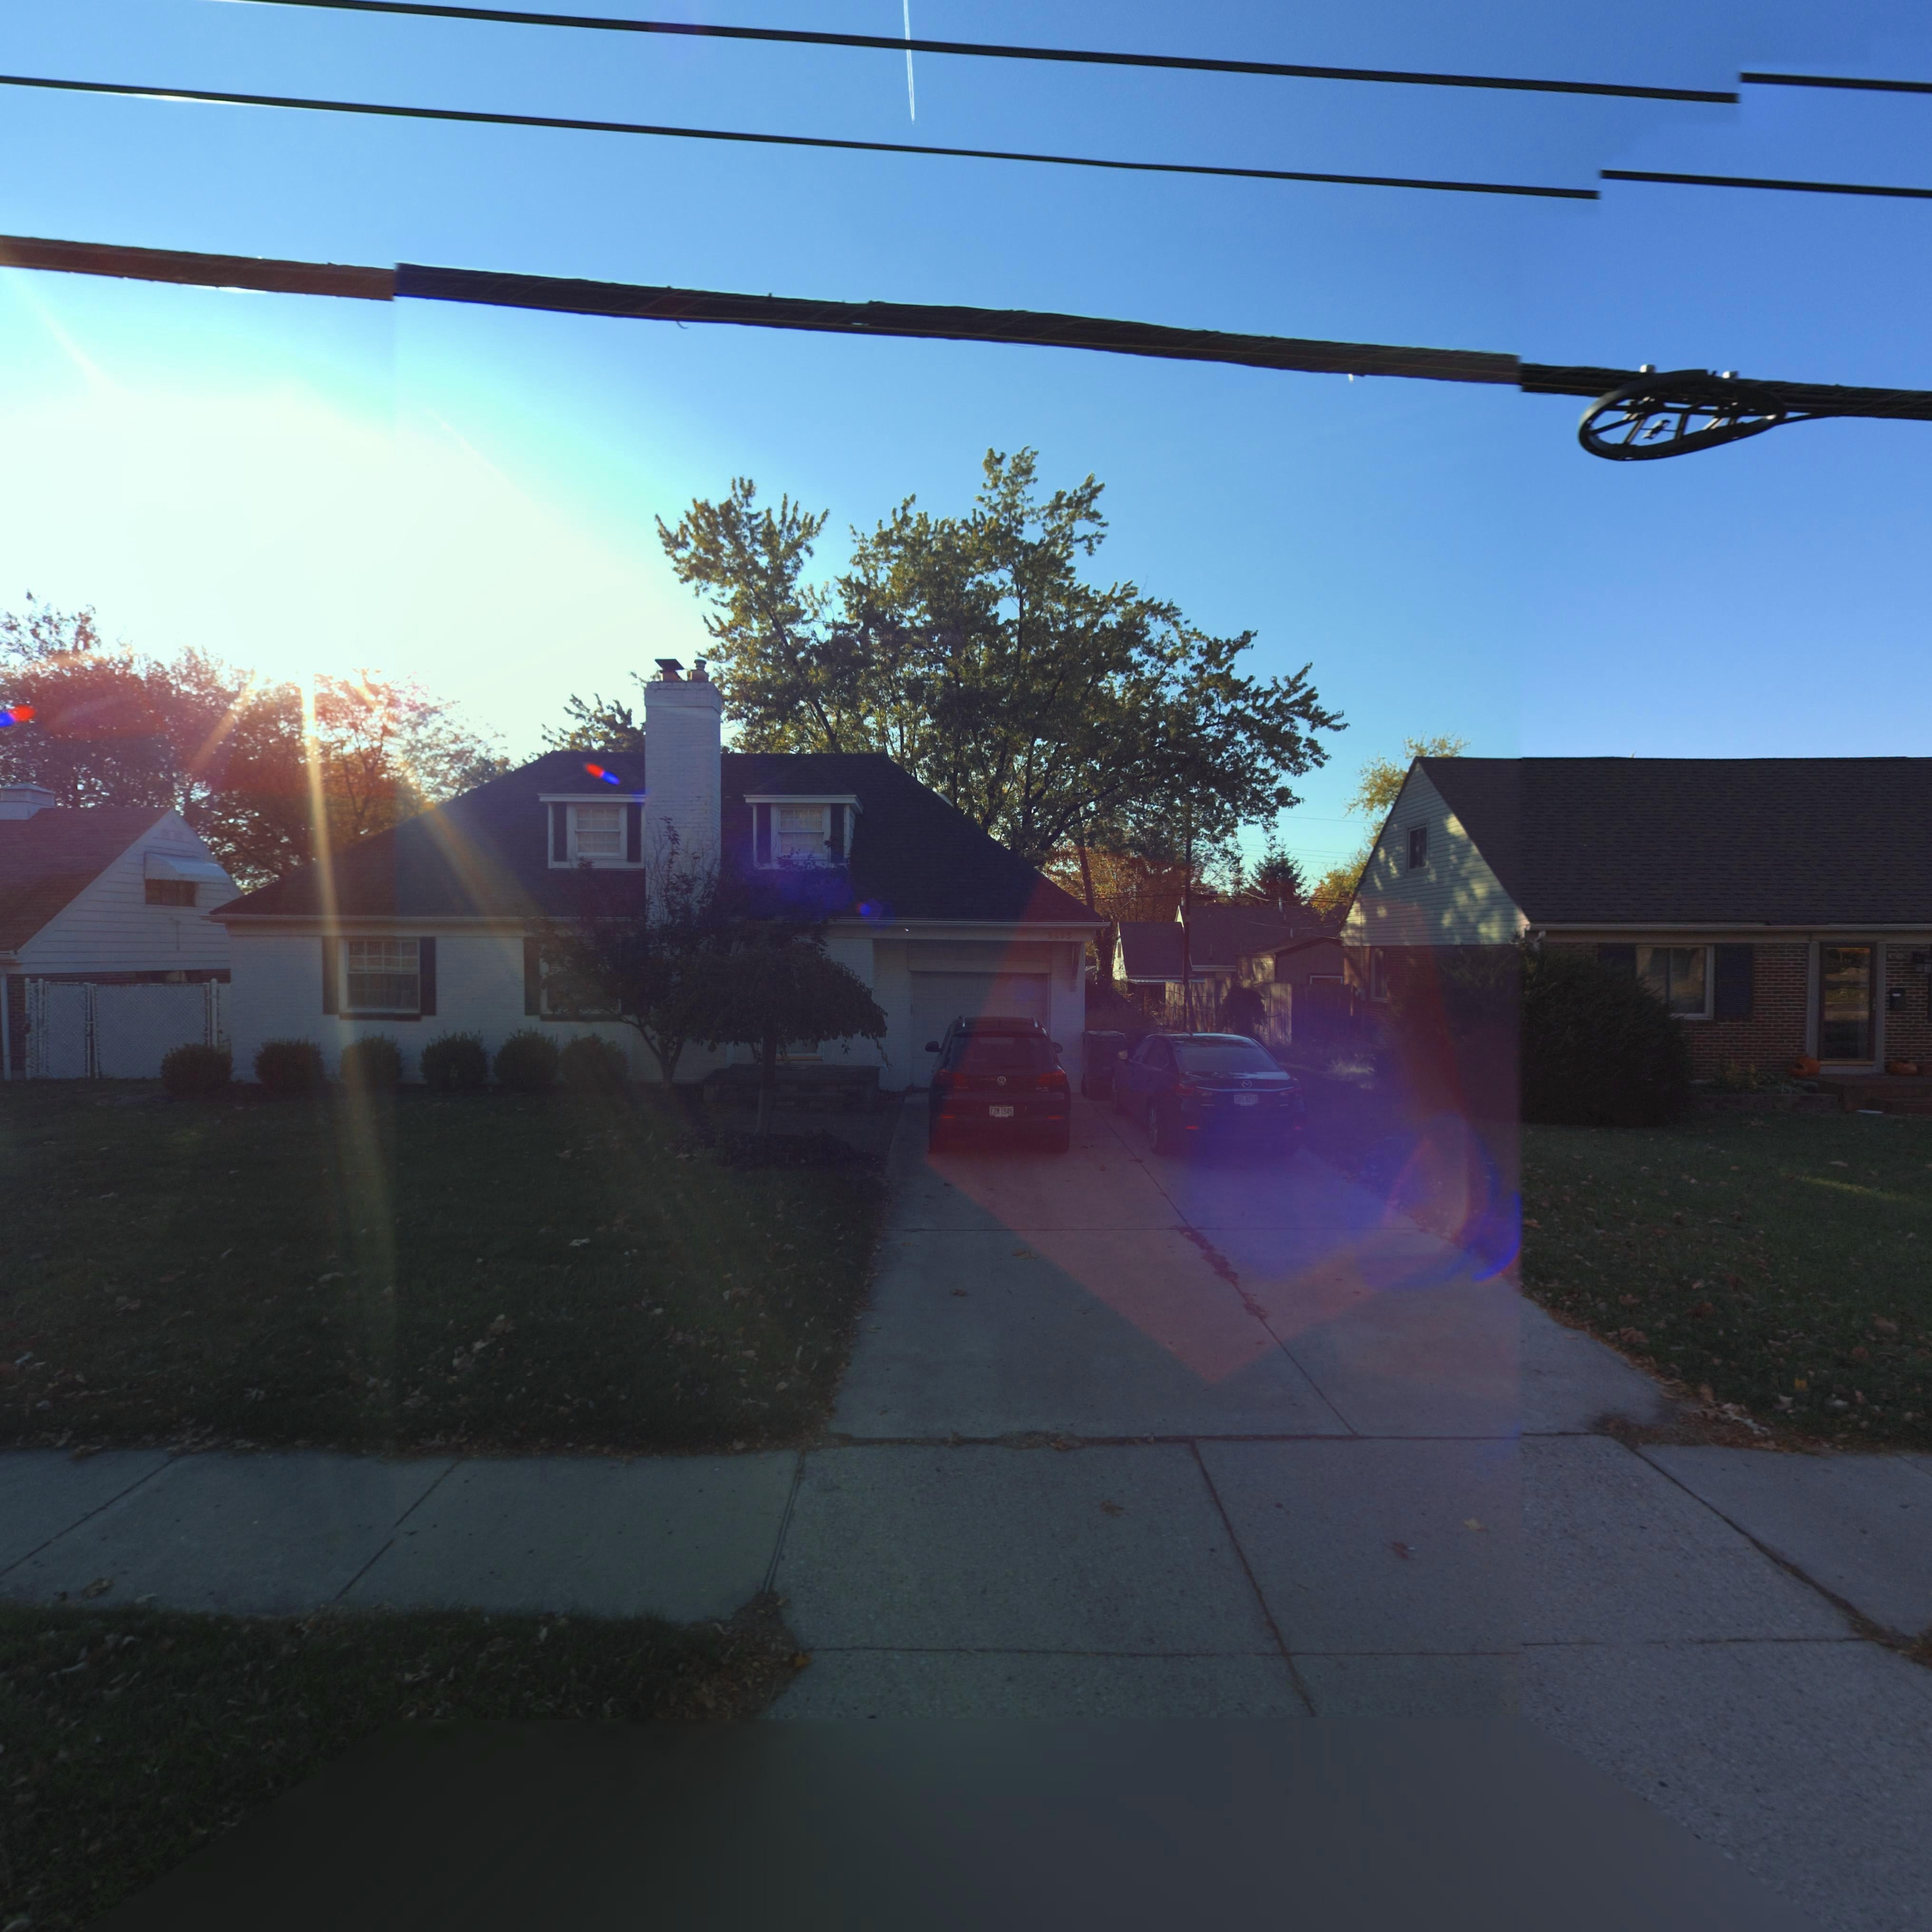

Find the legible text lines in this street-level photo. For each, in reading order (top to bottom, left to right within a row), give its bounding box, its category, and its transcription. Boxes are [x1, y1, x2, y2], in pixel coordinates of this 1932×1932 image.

[1047, 931, 1072, 939] StreetNumber: 3833